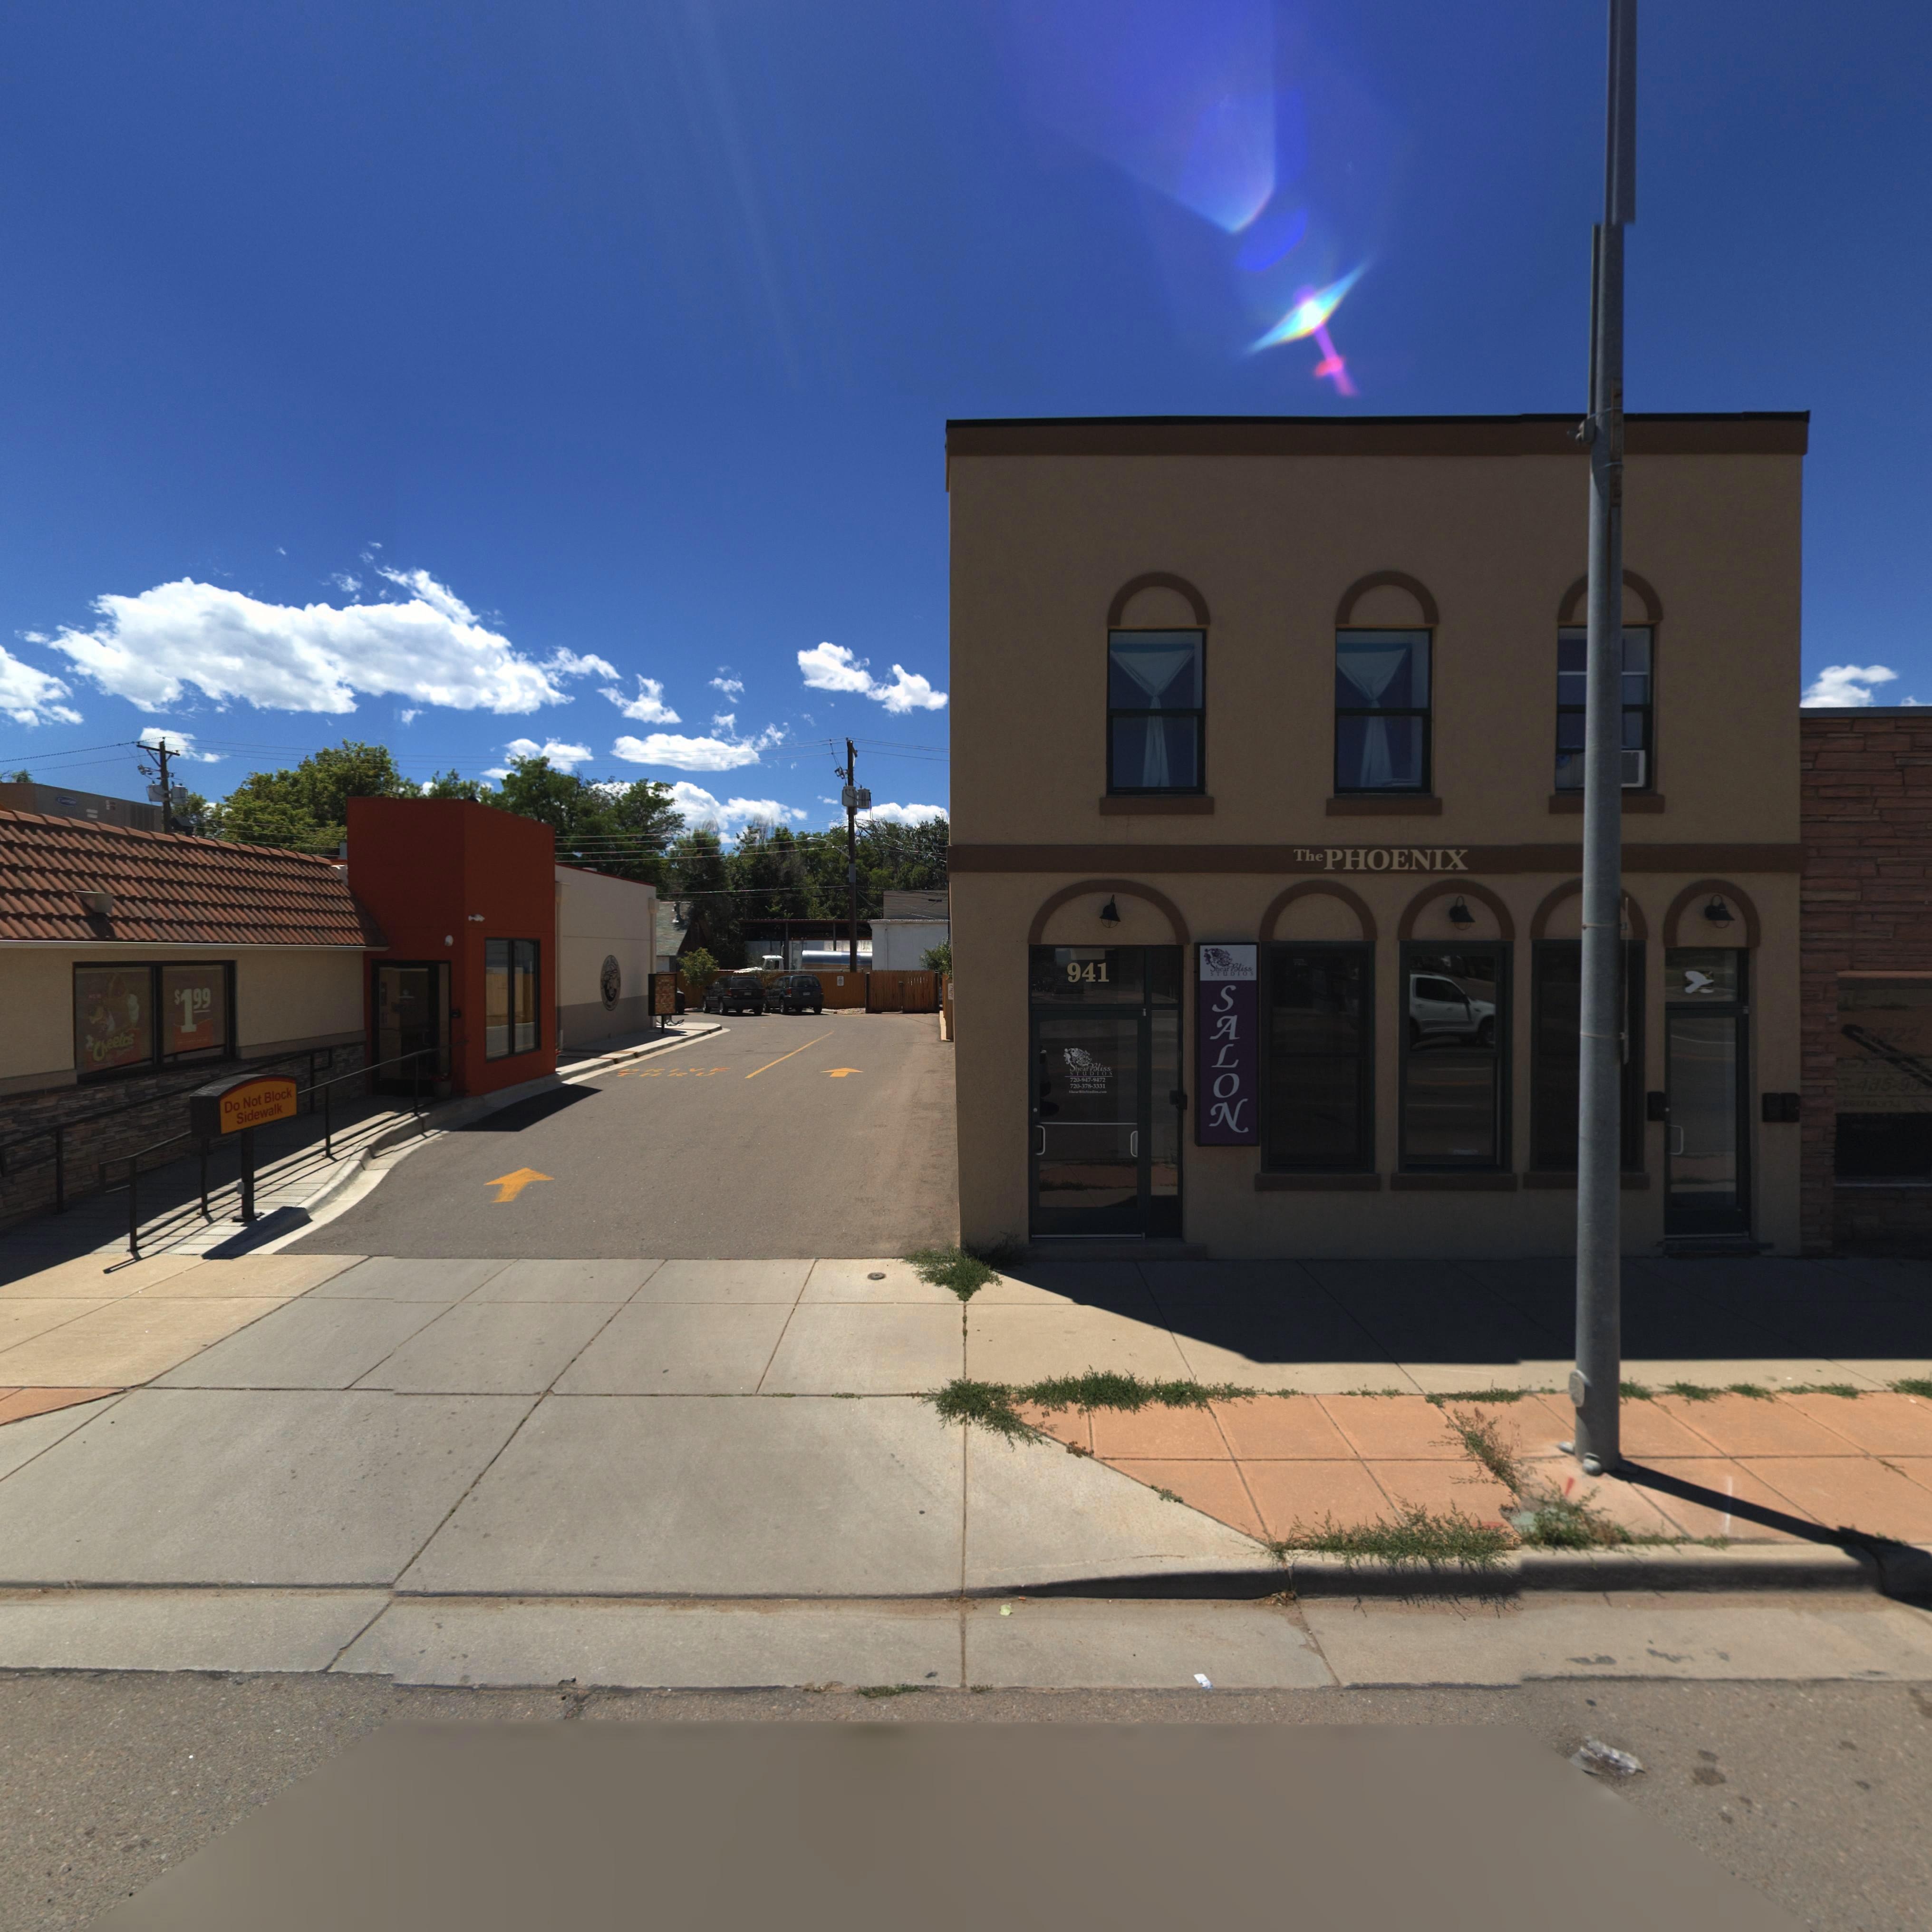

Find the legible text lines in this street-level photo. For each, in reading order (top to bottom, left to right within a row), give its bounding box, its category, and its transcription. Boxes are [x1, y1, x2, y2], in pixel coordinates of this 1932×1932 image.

[1209, 961, 1253, 971] BusinessName: Shear Bliss
[1067, 962, 1109, 983] StreetNumber: 941
[1210, 970, 1253, 976] BusinessName: STUDIOS
[1069, 1060, 1112, 1072] BusinessName: Shear Bliss
[1069, 1071, 1112, 1076] BusinessName: STUDIOS